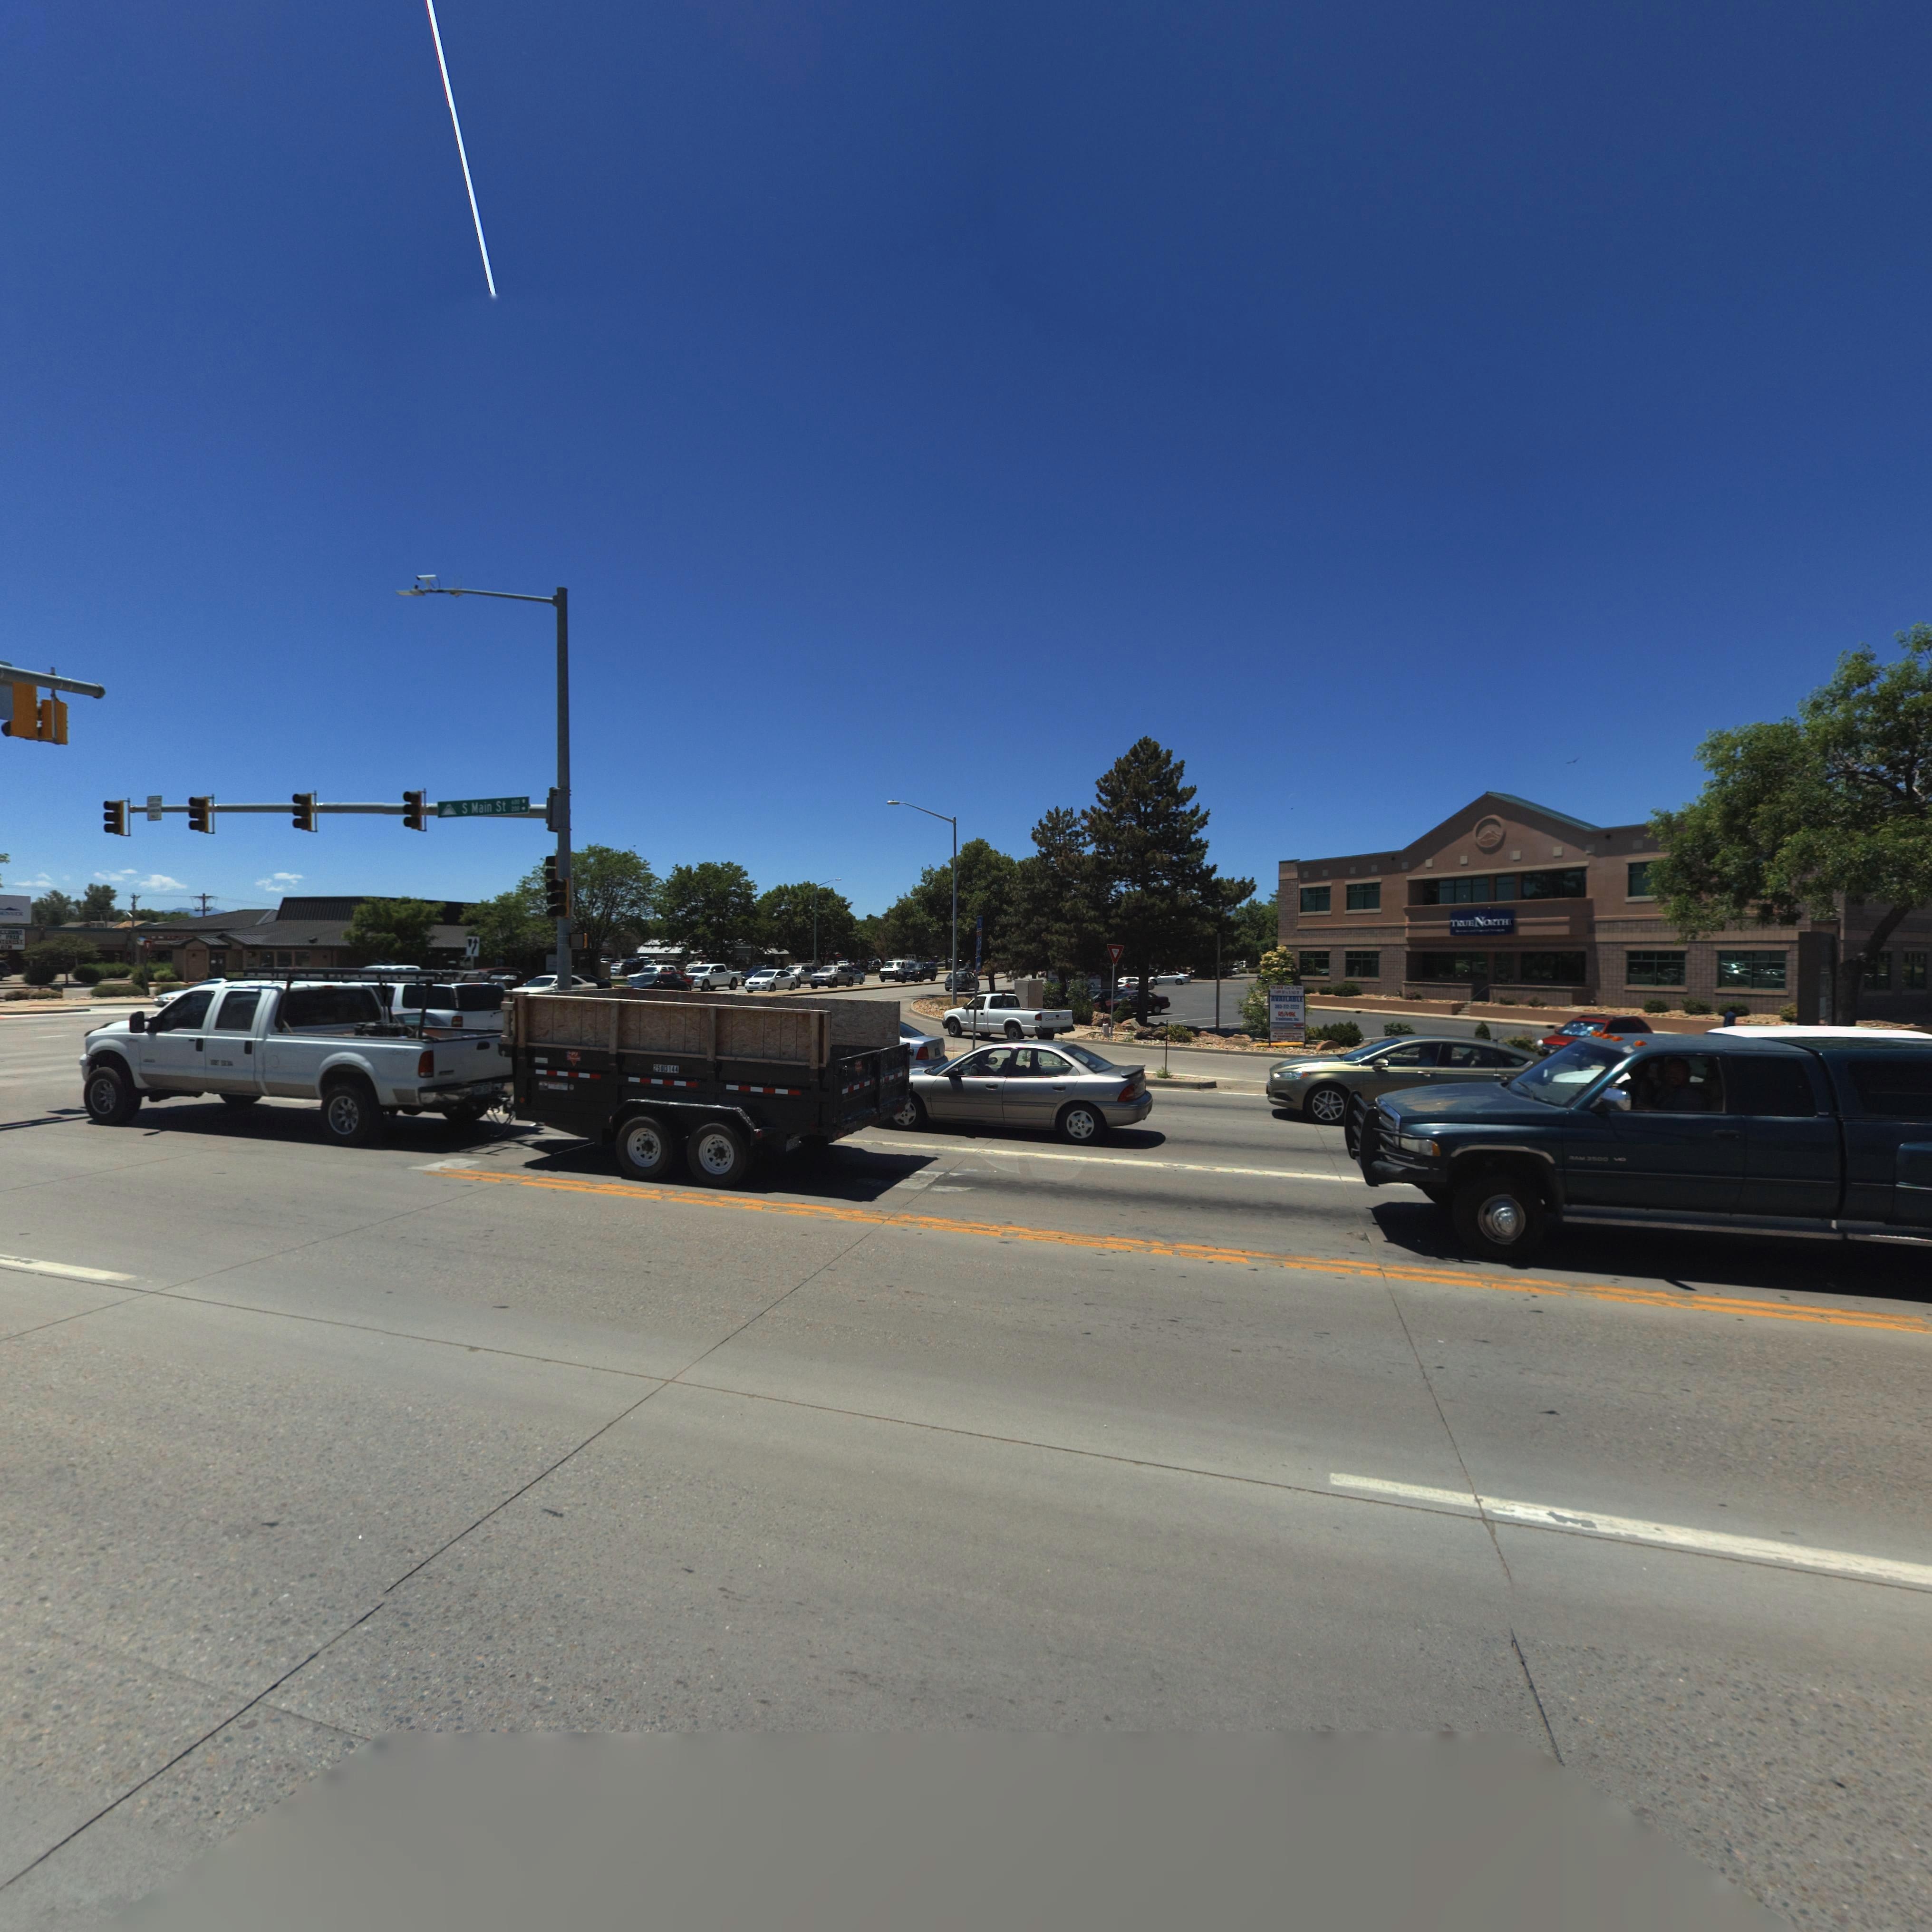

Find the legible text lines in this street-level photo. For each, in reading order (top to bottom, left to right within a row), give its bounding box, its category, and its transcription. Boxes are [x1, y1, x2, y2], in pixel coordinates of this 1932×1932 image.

[511, 798, 521, 805] StreetNumberRange: 600
[461, 800, 506, 815] StreetName: S Main St
[511, 805, 526, 811] BusinessName: *00 ->
[1, 911, 23, 916] BusinessName: ENVER
[1450, 916, 1510, 927] BusinessName: TRUENORTH
[547, 964, 557, 967] BusinessName: N*******